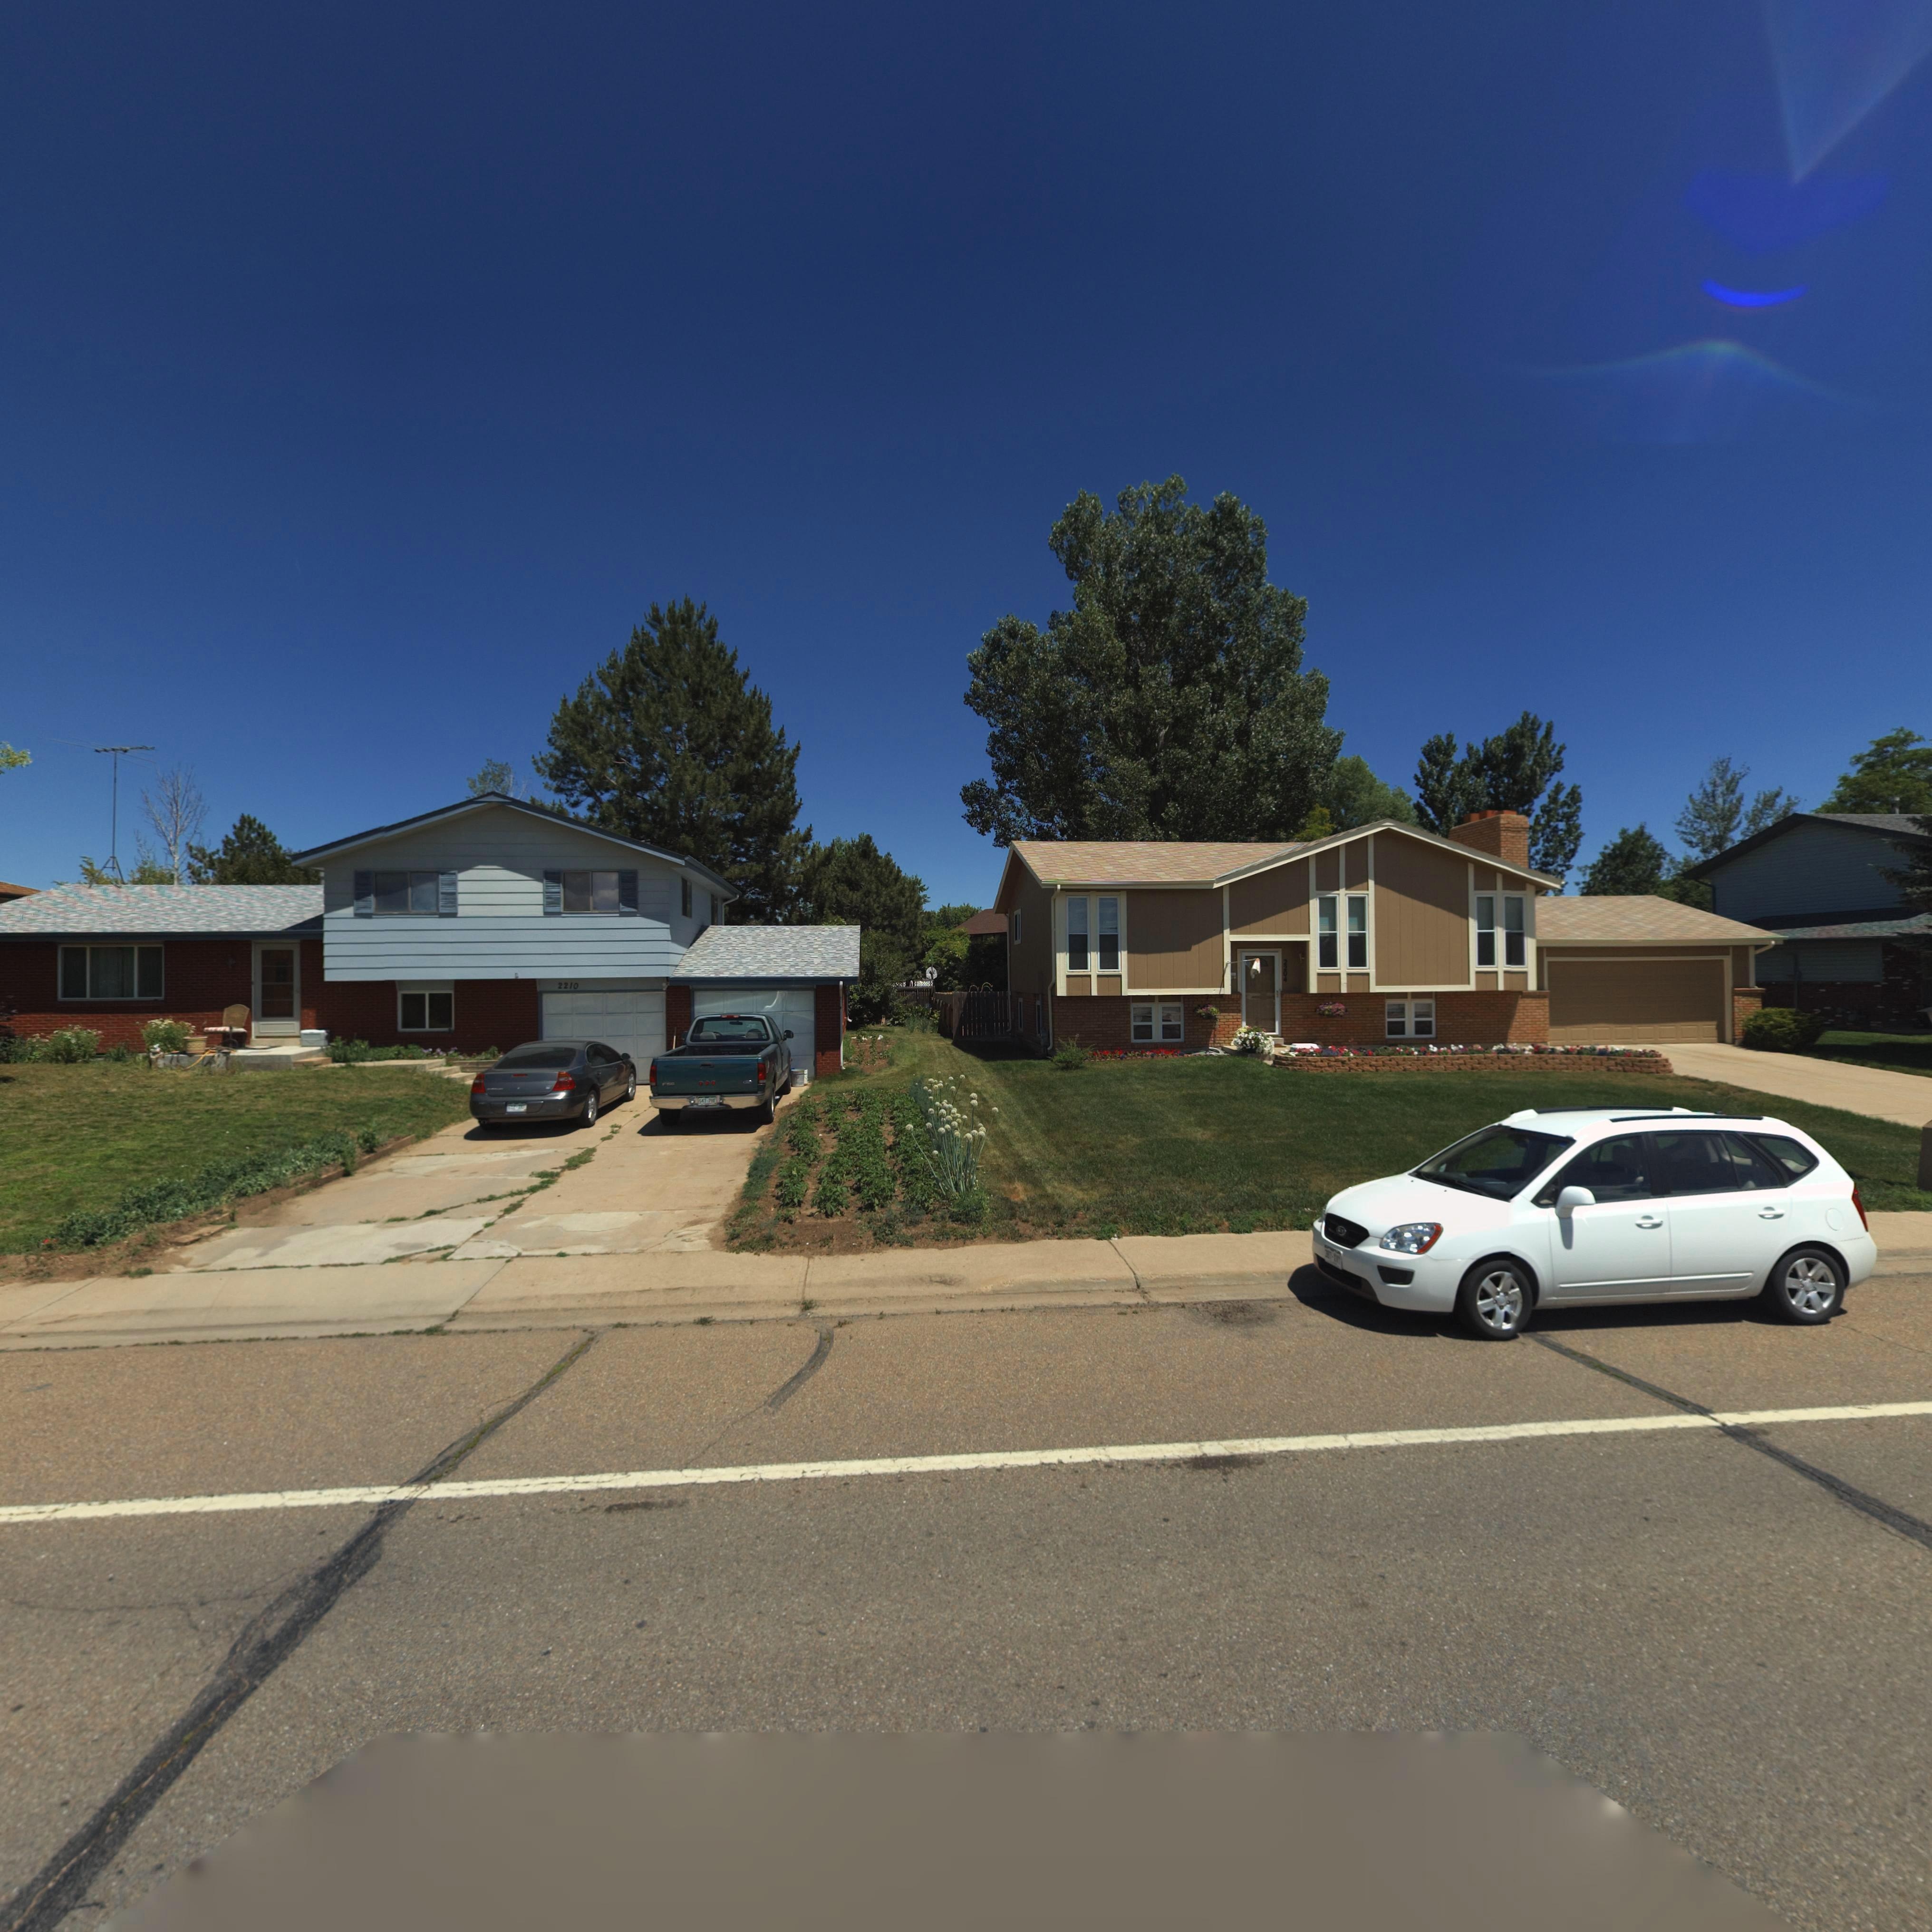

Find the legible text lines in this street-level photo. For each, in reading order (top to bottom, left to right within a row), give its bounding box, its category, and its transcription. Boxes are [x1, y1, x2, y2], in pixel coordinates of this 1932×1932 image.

[1283, 959, 1287, 982] StreetNumber: 2204
[558, 982, 579, 989] StreetNumber: 2210